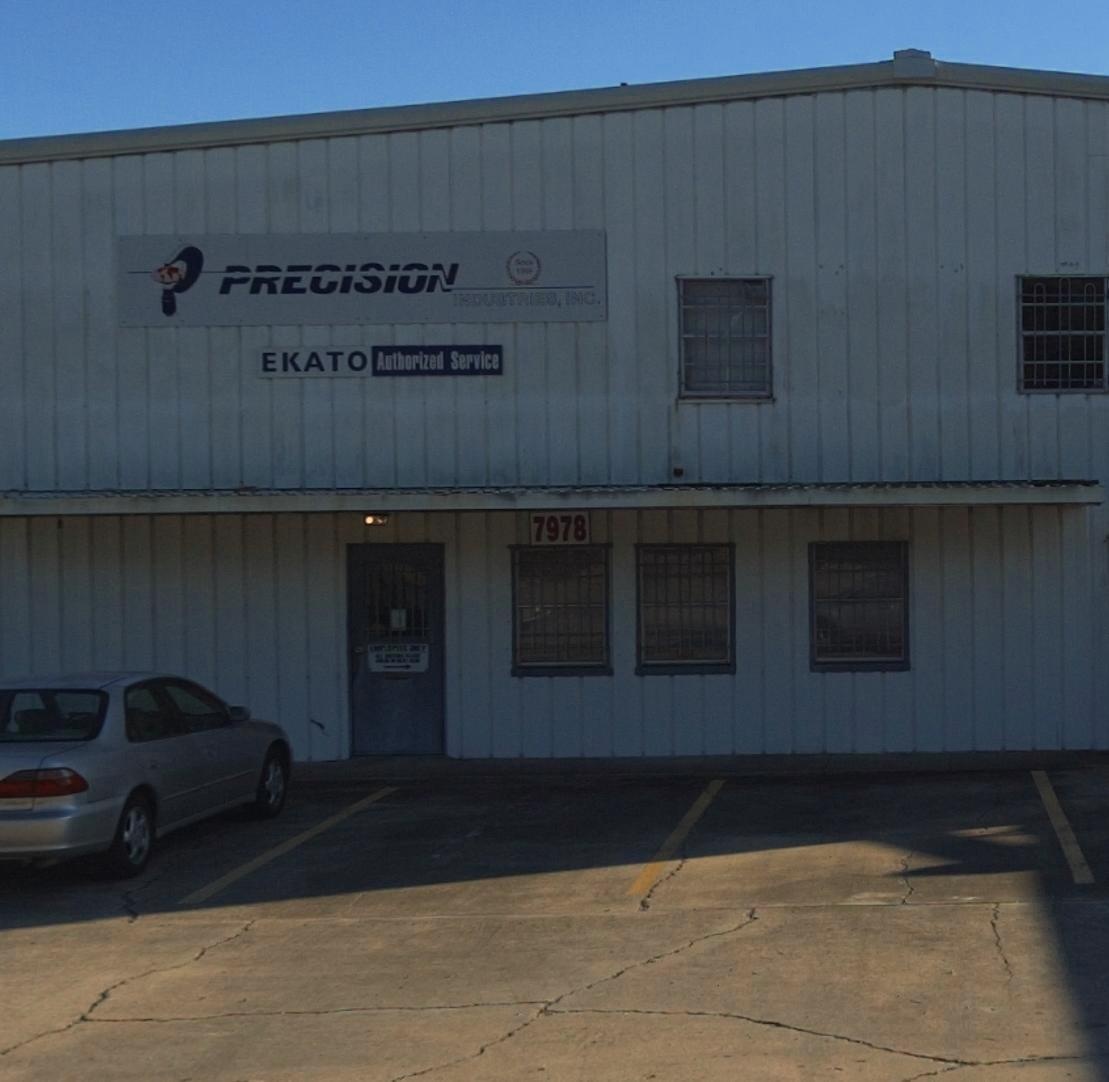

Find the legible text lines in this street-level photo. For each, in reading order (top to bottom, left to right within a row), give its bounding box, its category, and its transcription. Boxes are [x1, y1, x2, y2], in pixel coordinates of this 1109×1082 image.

[451, 291, 603, 309] None: IN*U*T*IES, INC.
[261, 350, 499, 373] None: EKATO Authorized Service
[532, 514, 587, 543] StreetNumber: 7978